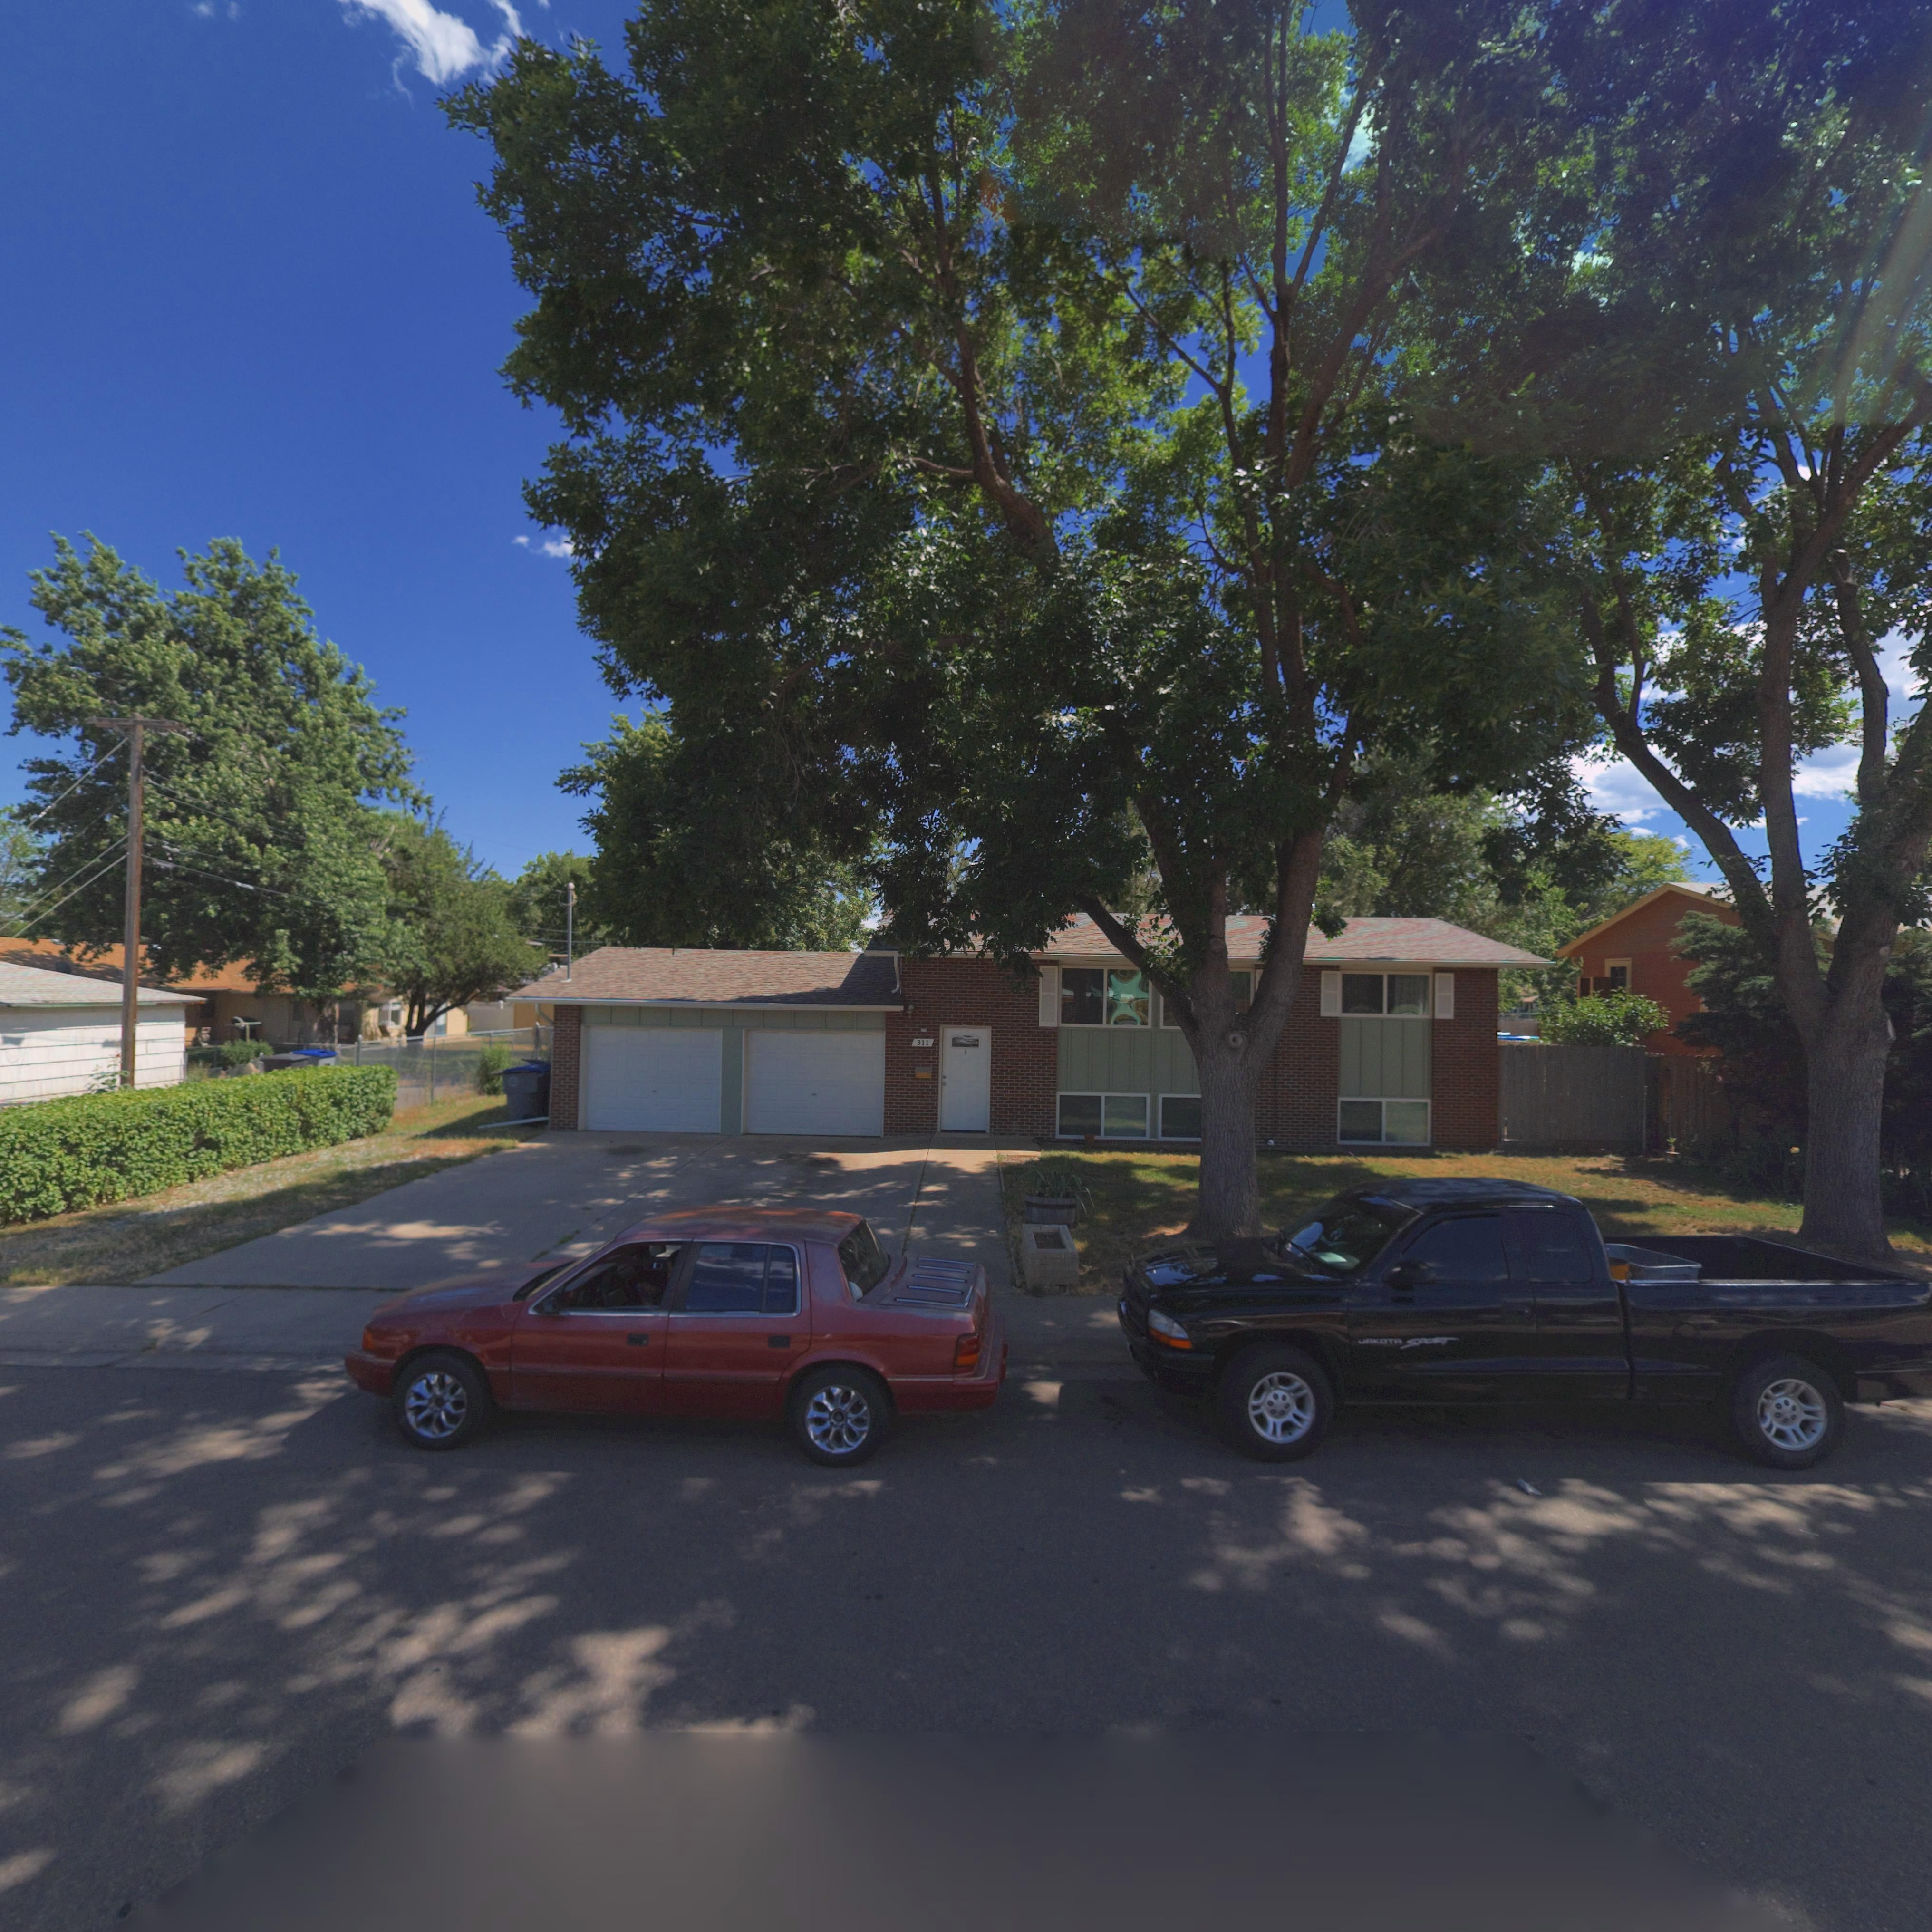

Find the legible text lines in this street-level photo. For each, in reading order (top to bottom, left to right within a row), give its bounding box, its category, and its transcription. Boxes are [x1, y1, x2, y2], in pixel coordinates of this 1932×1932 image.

[916, 1040, 928, 1045] StreetNumber: 311